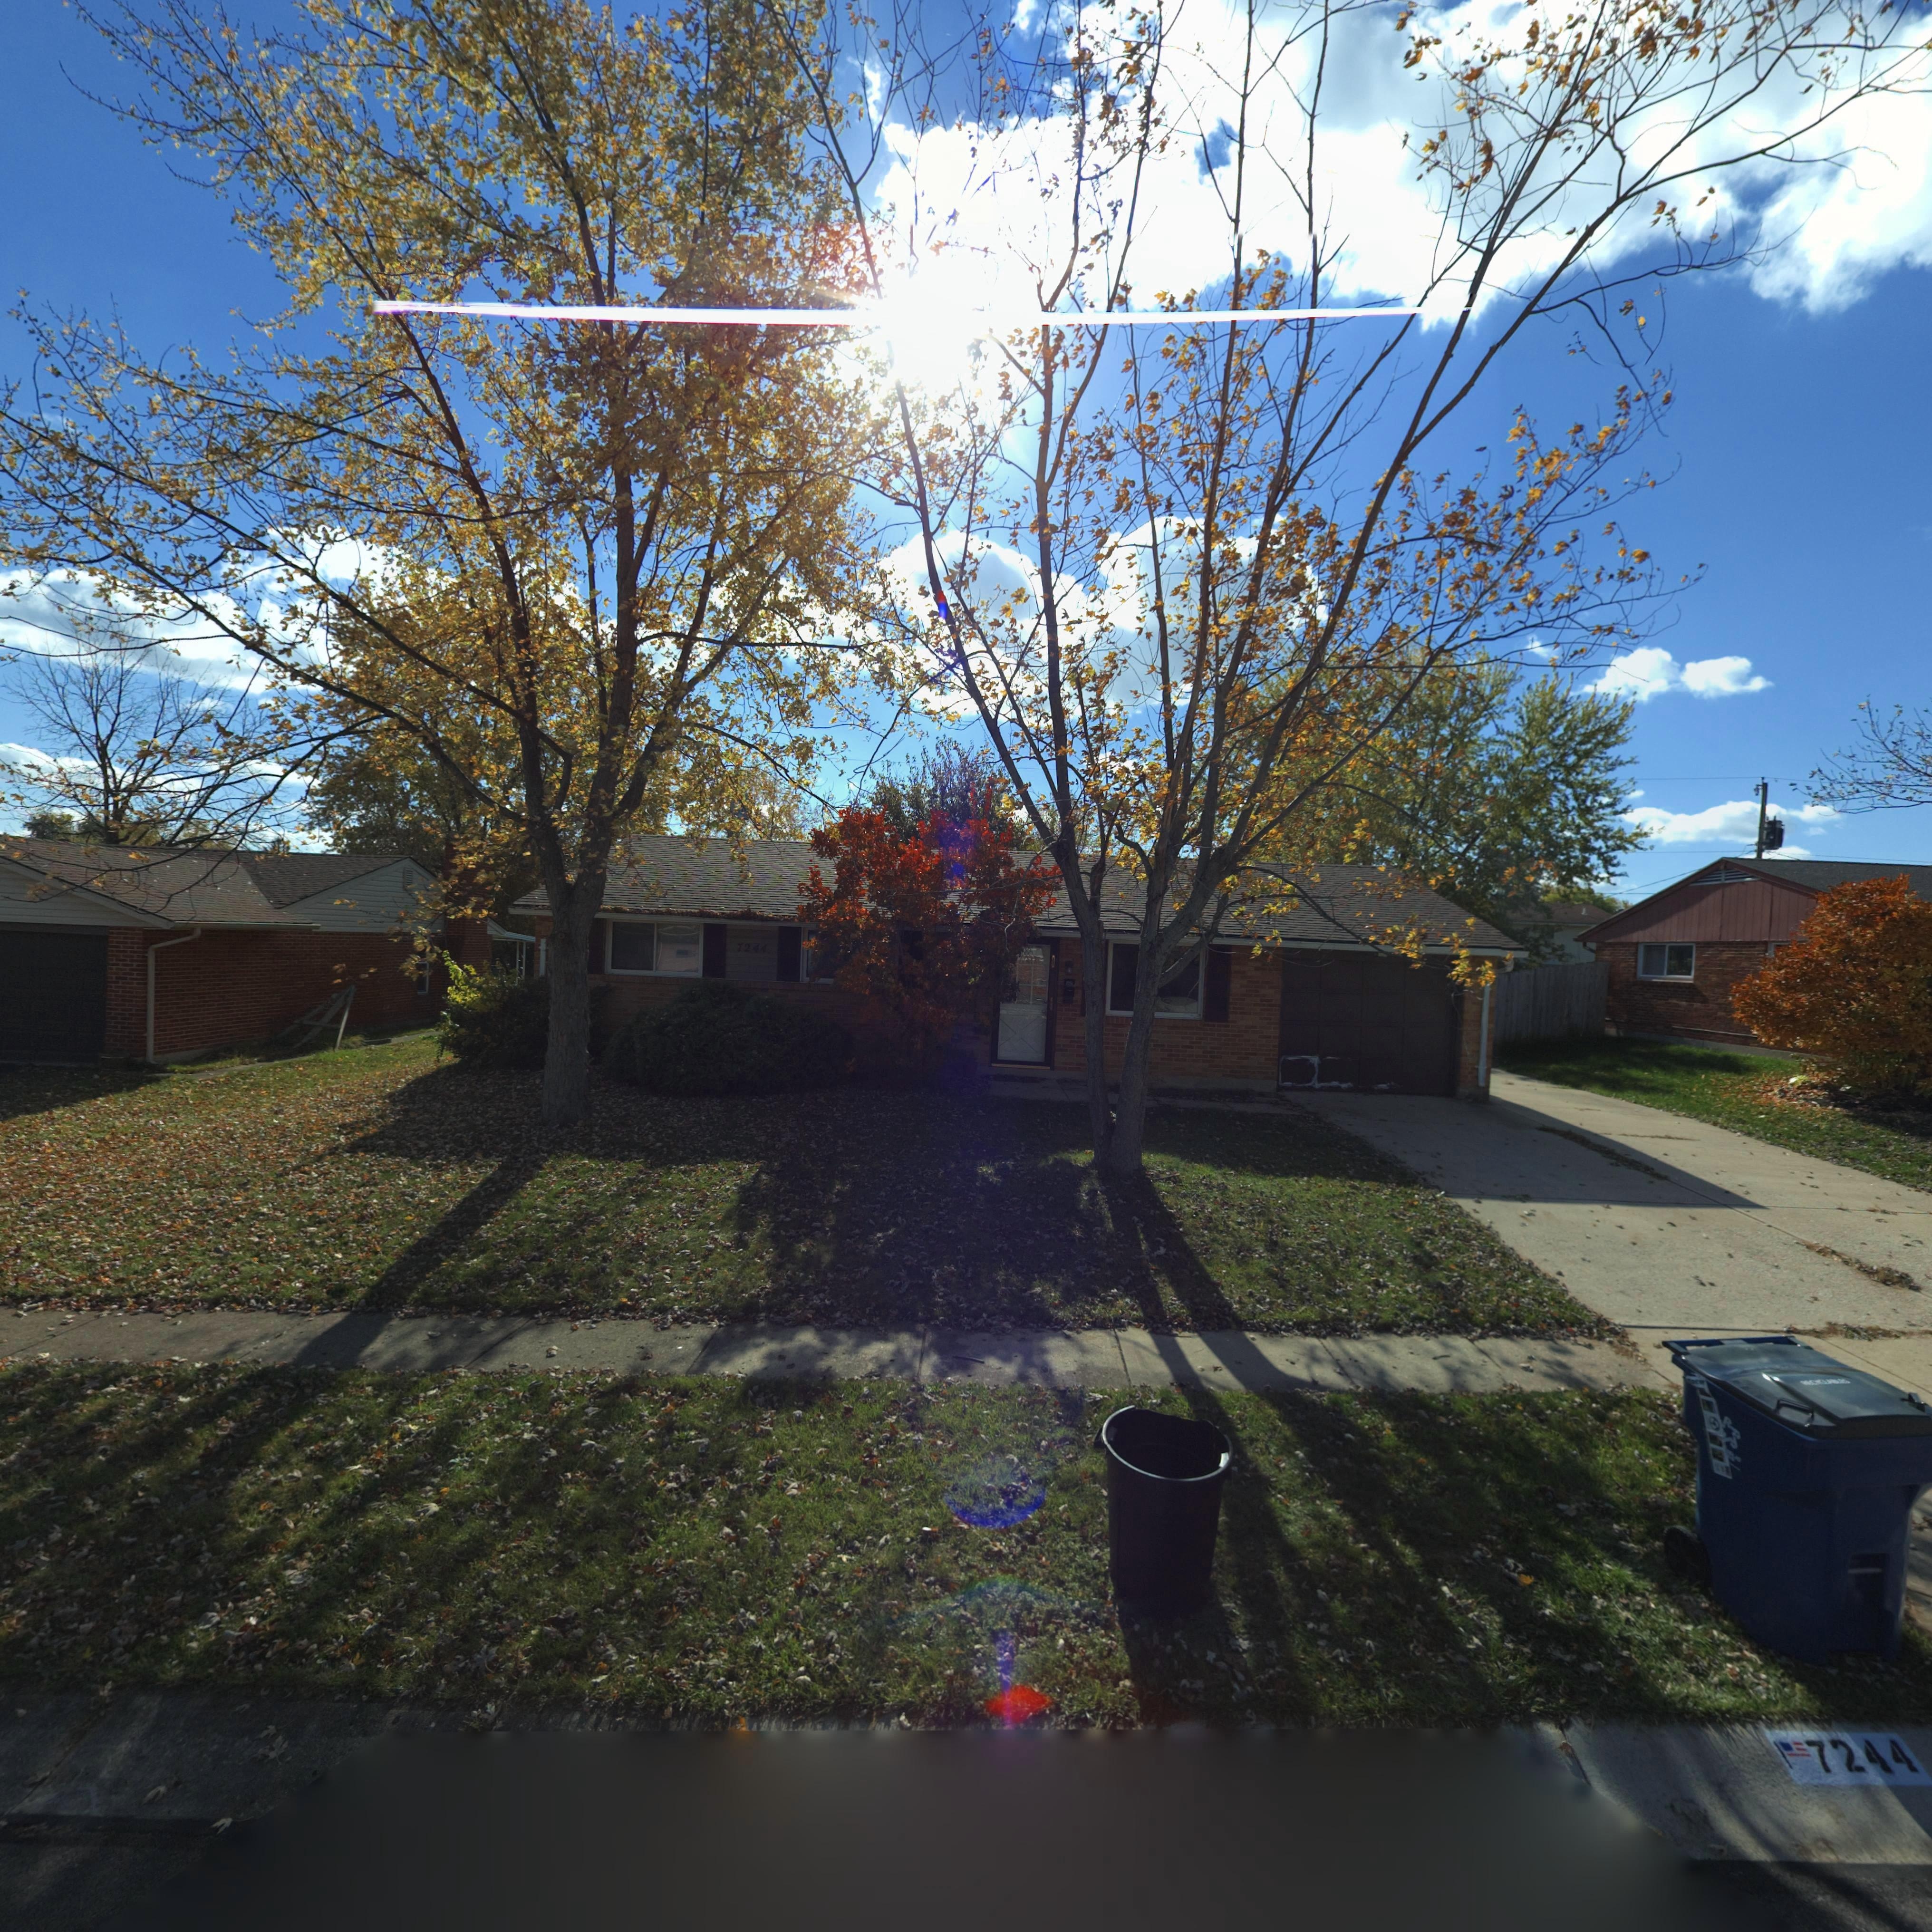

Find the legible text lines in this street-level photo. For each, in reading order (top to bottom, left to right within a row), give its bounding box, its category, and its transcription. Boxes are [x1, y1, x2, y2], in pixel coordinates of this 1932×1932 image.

[735, 942, 768, 954] StreetNumber: 7244
[1801, 1735, 1922, 1776] StreetNumber: 7244